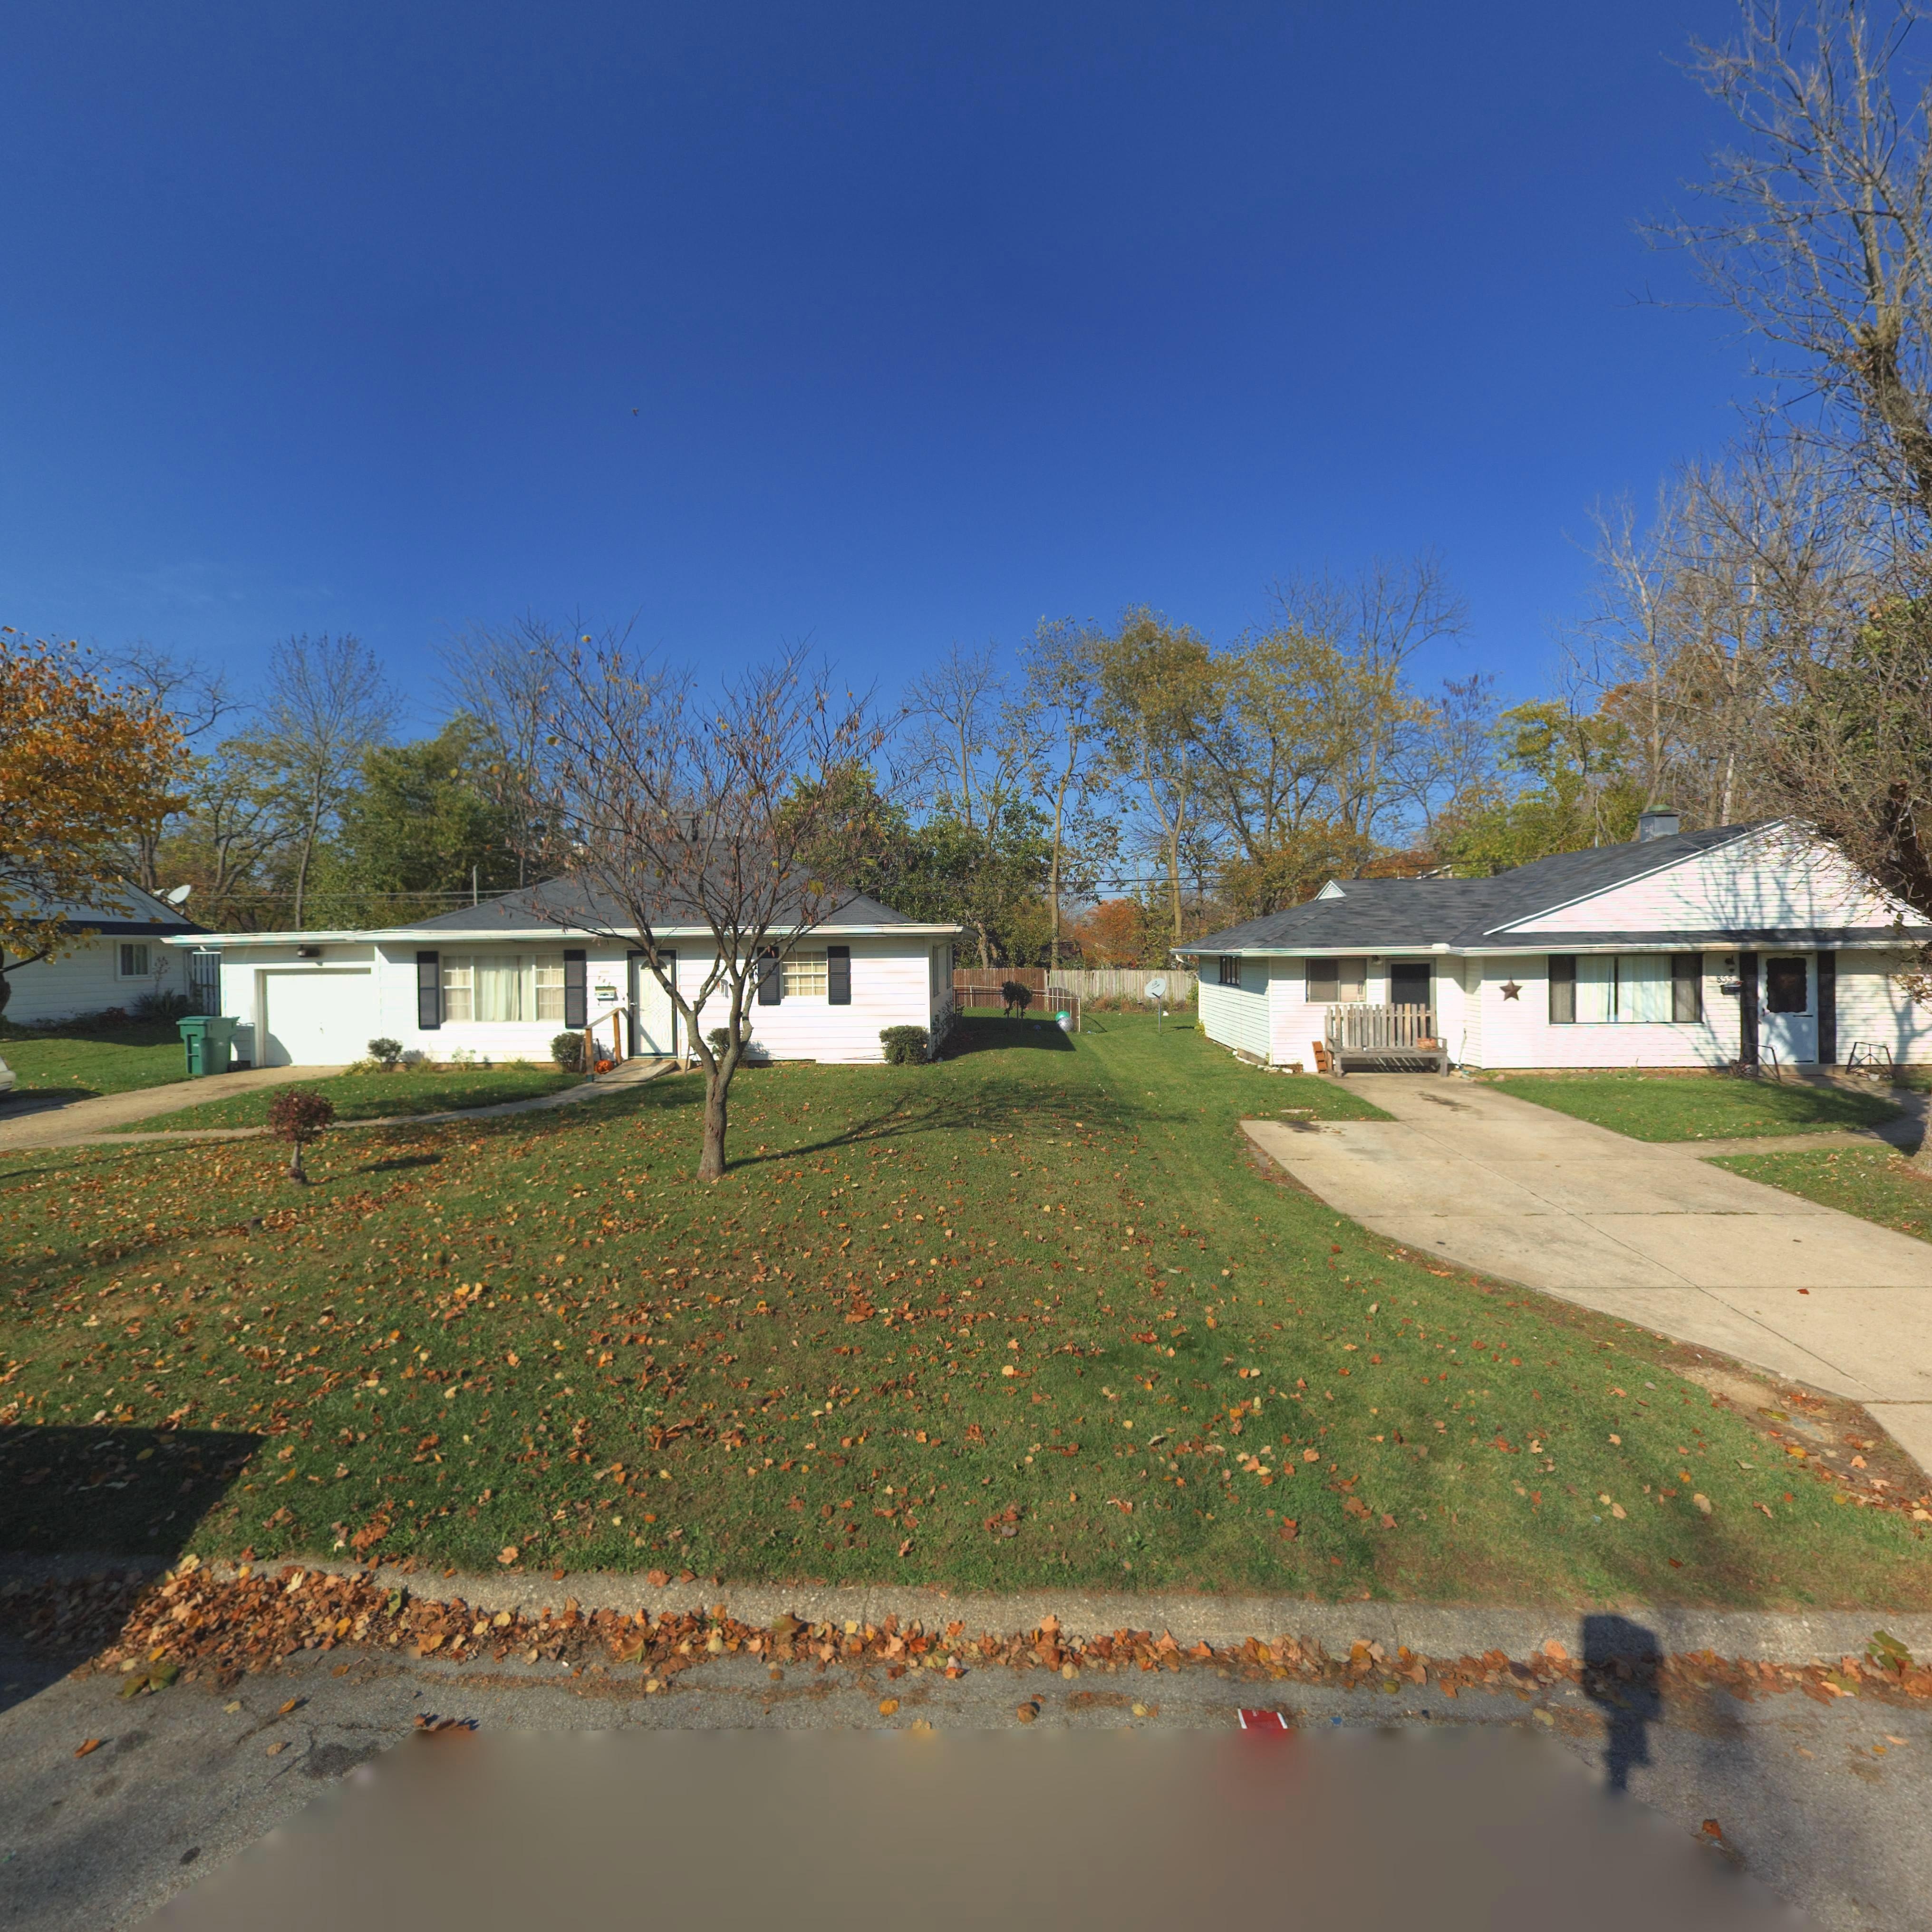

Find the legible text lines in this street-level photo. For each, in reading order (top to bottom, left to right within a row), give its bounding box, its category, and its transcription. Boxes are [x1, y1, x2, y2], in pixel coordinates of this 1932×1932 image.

[1715, 975, 1733, 984] StreetNumber: 85*